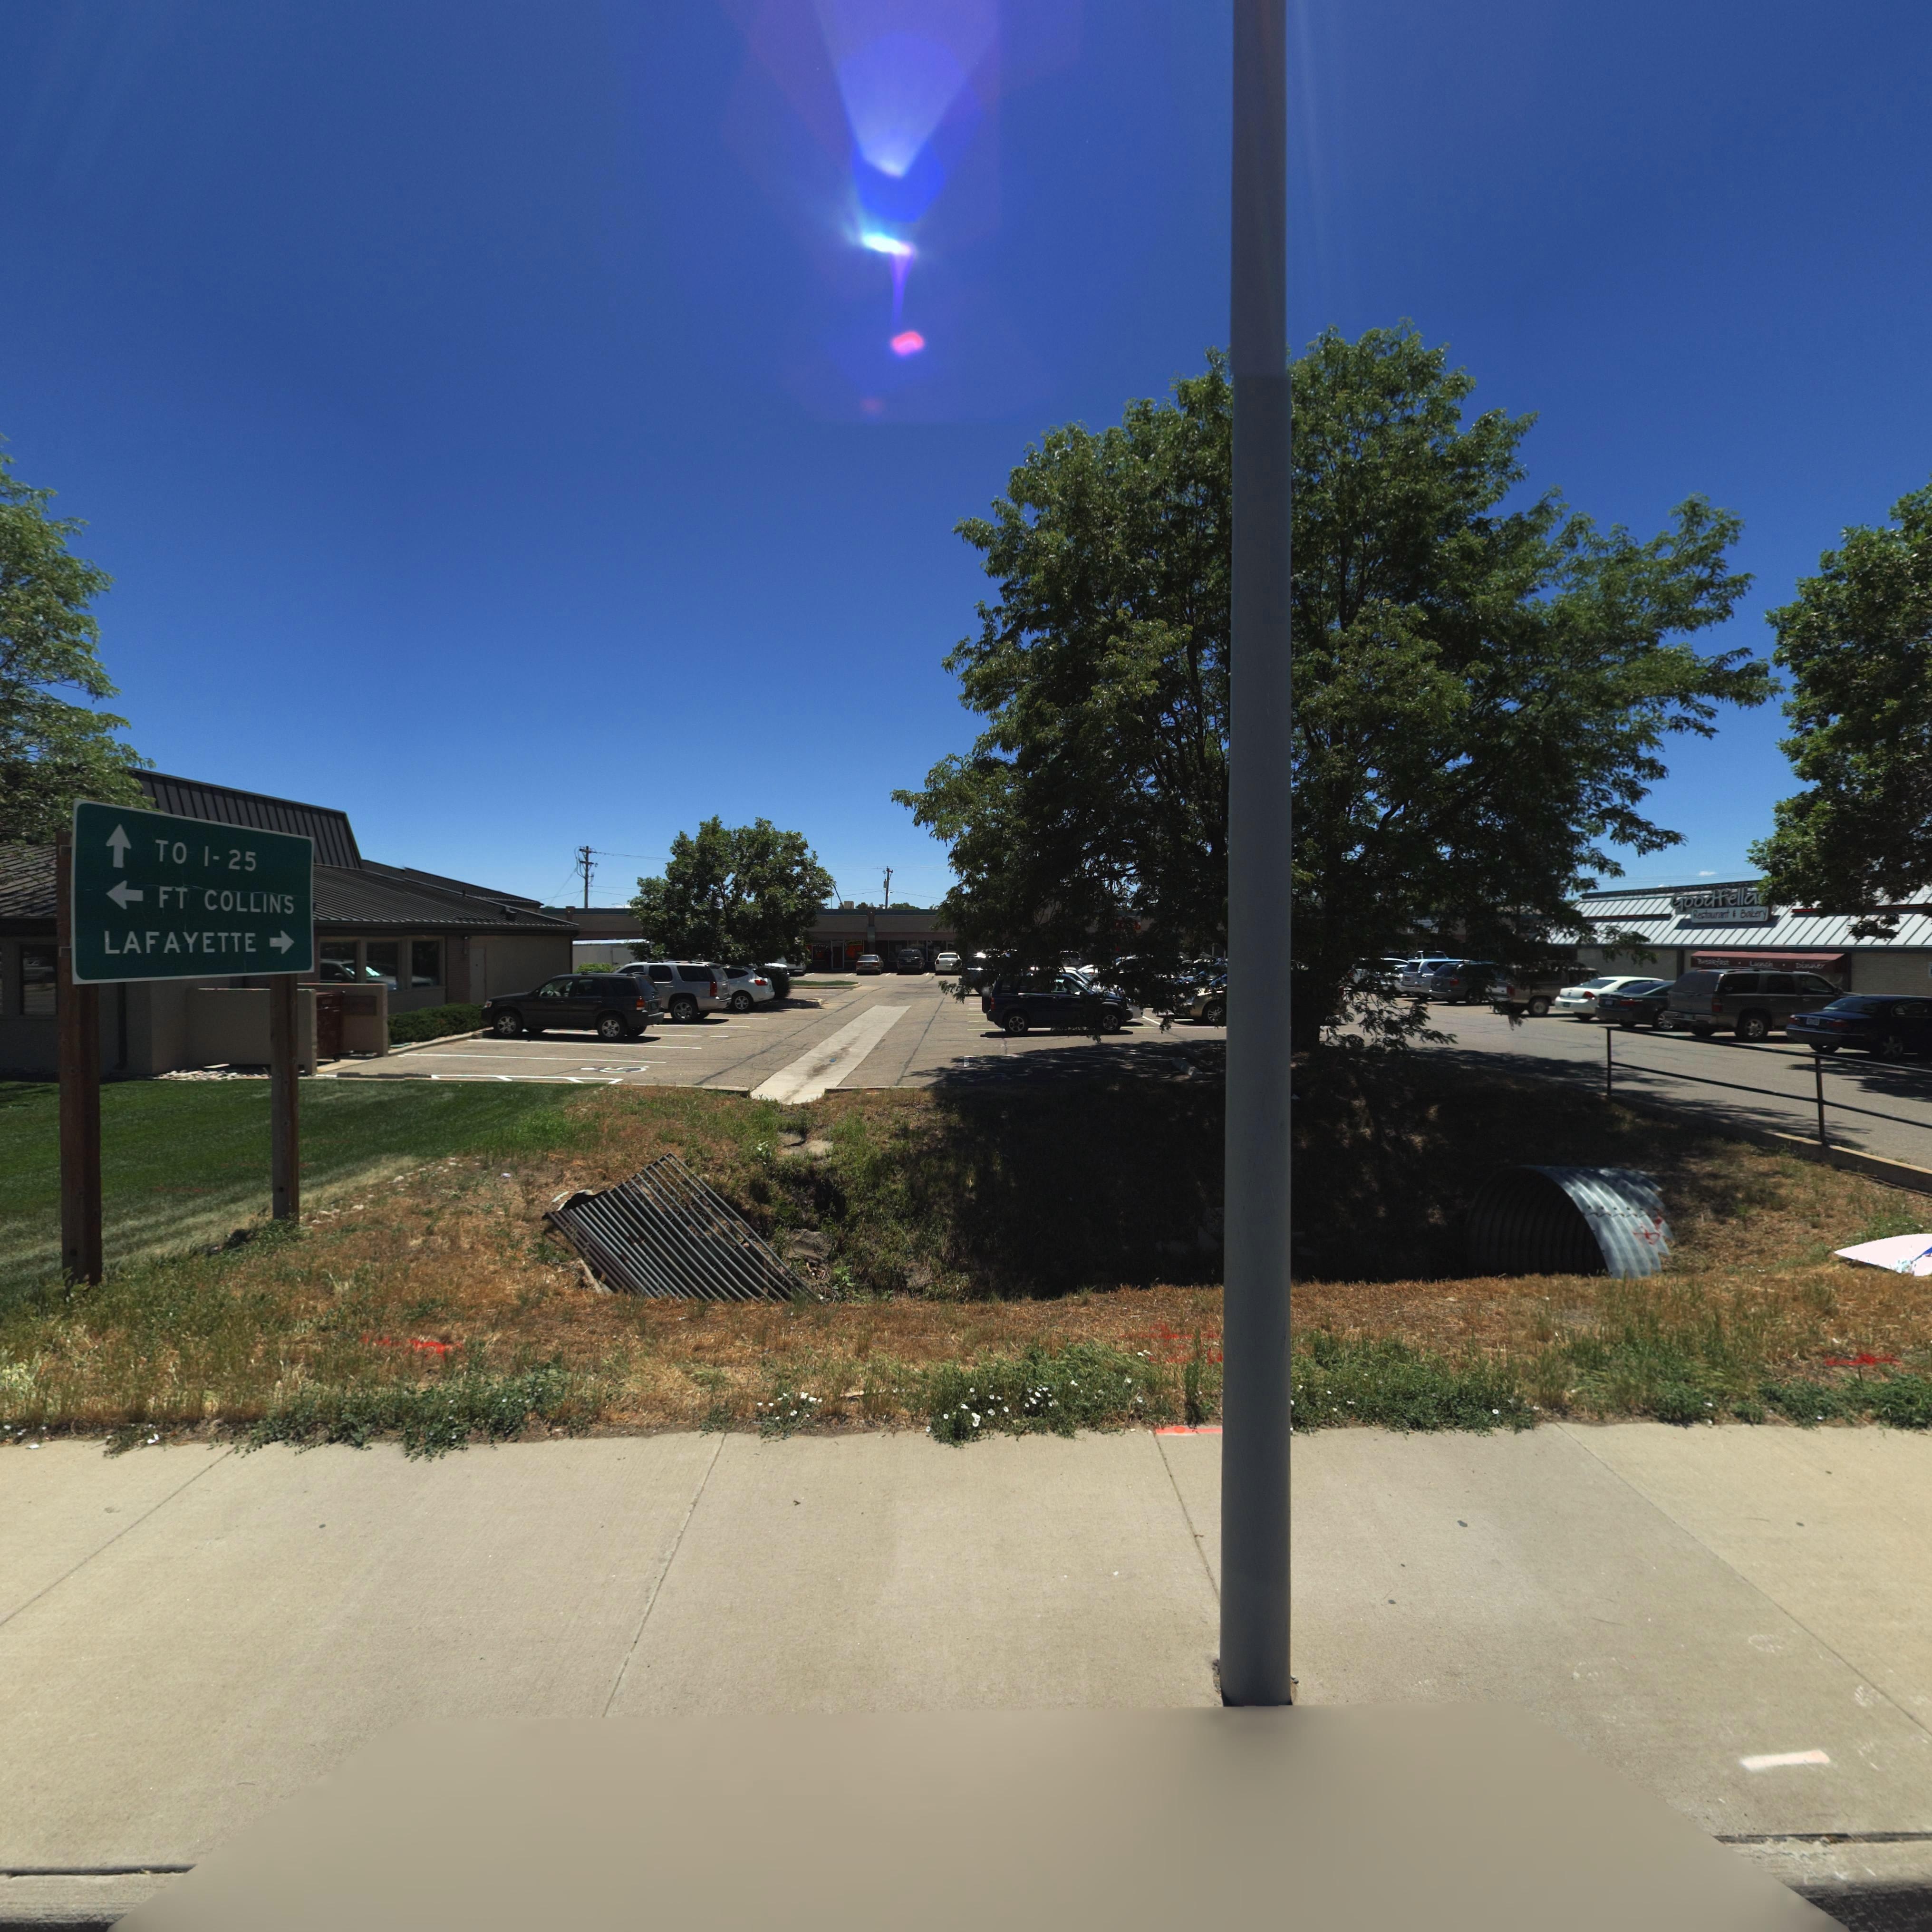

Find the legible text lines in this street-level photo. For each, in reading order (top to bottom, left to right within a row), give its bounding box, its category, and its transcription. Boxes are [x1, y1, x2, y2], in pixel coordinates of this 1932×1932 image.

[1669, 885, 1767, 912] BusinessName: Goodfella*